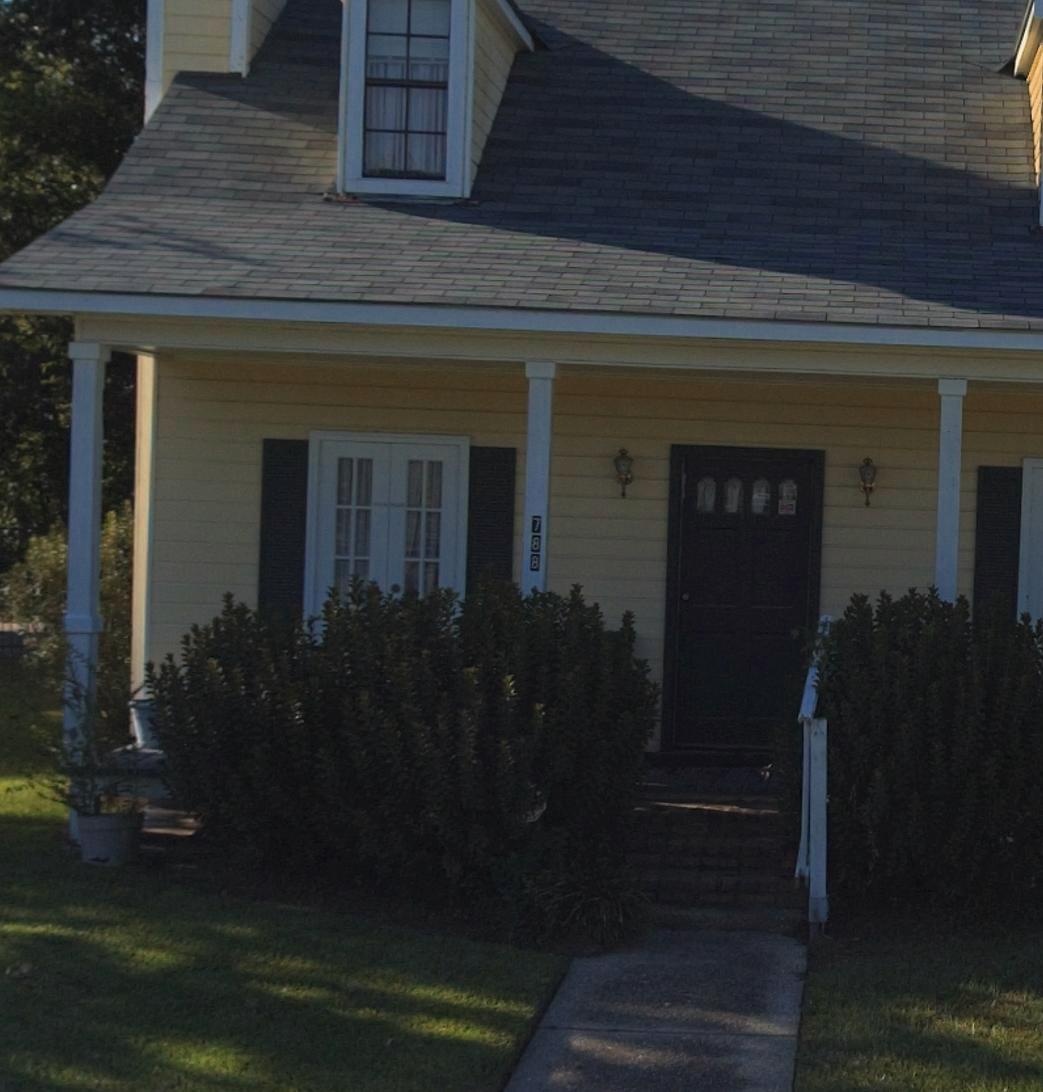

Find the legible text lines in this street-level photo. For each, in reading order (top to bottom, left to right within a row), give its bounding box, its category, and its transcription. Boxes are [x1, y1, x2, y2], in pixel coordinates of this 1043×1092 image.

[530, 516, 541, 571] StreetNumber: 788